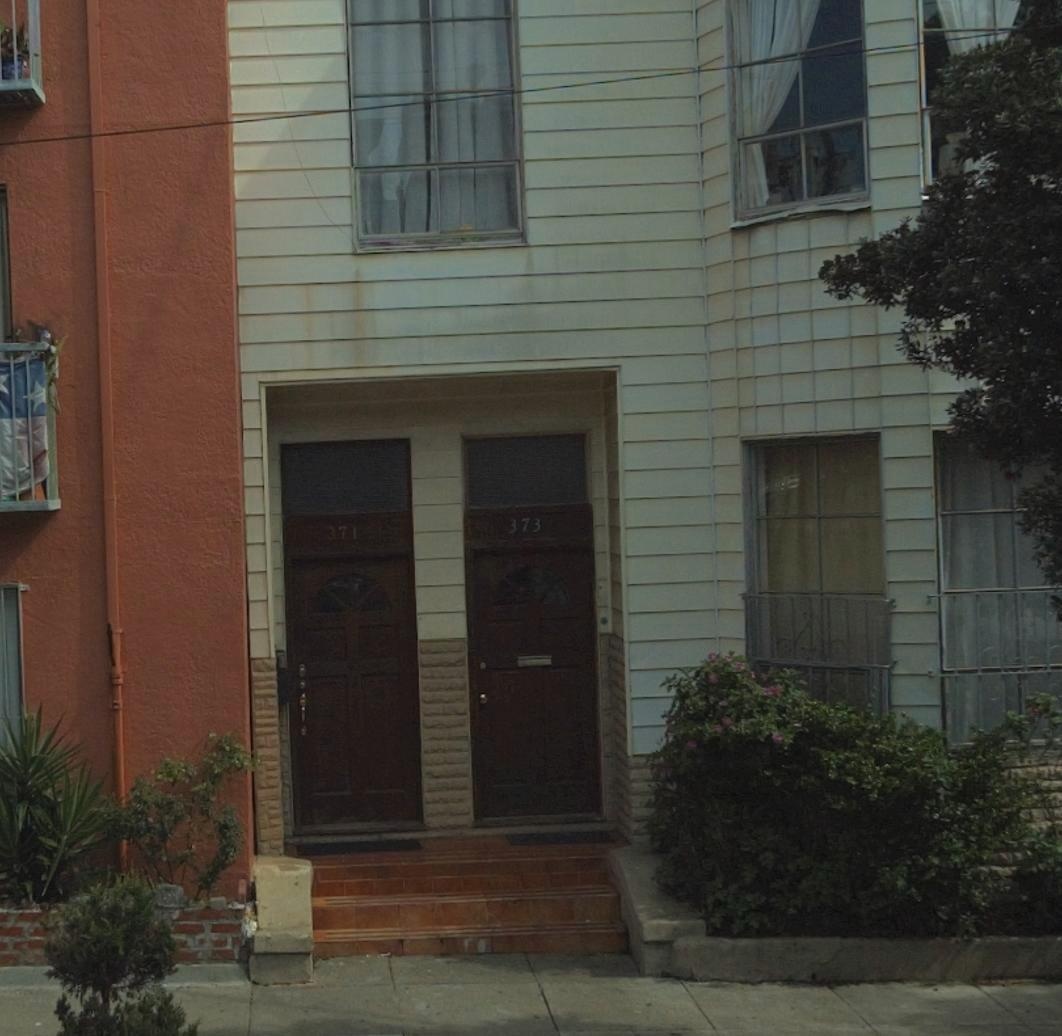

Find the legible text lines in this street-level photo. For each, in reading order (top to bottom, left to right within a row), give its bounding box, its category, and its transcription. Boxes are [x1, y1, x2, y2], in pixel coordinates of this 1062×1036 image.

[325, 524, 359, 541] StreetNumber: 371
[507, 517, 542, 534] StreetNumber: 373